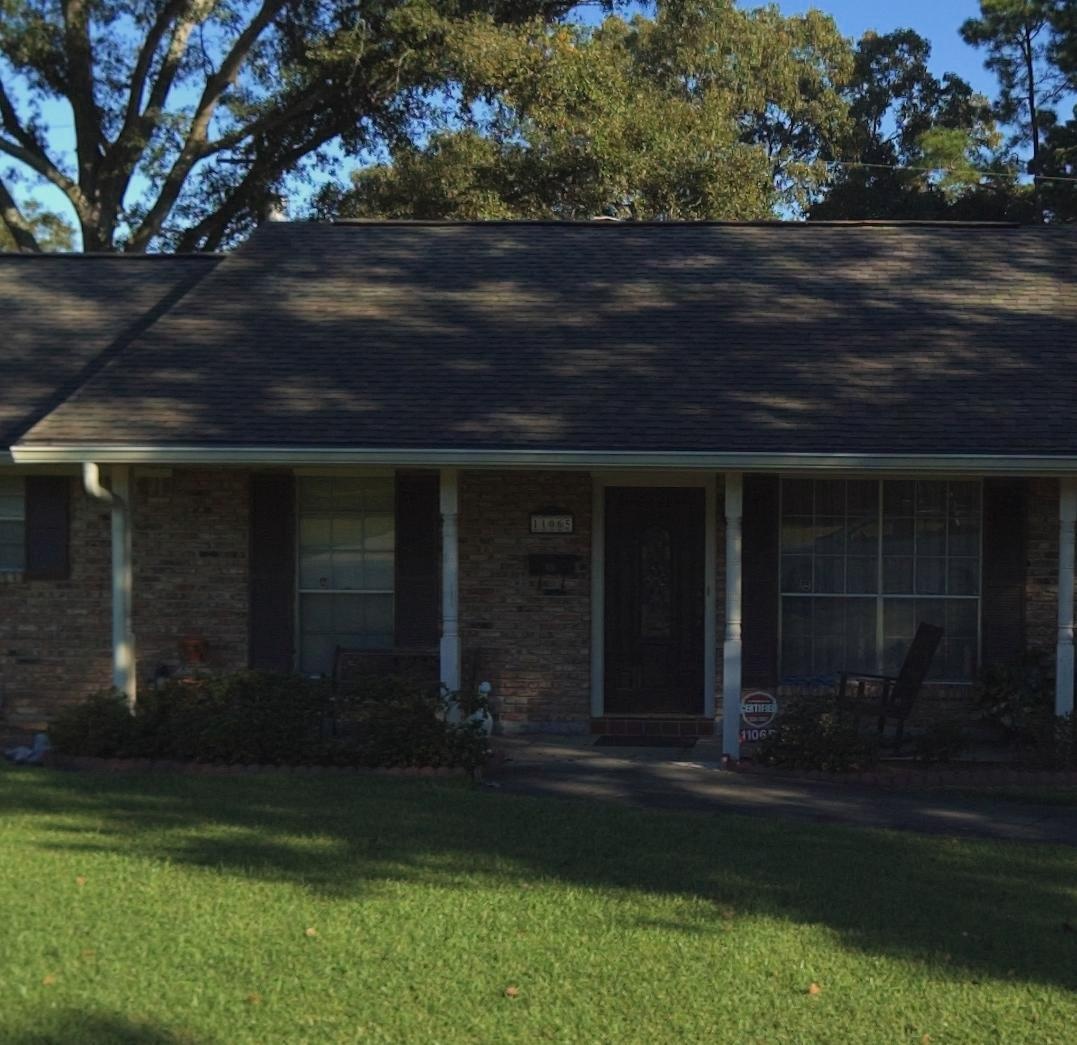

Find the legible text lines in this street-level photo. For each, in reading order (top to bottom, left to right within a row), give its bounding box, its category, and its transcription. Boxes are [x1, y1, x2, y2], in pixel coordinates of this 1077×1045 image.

[532, 517, 572, 530] StreetNumber: 11065
[738, 702, 778, 714] None: CERTIFIED
[739, 728, 777, 742] StreetNumber: 1106*